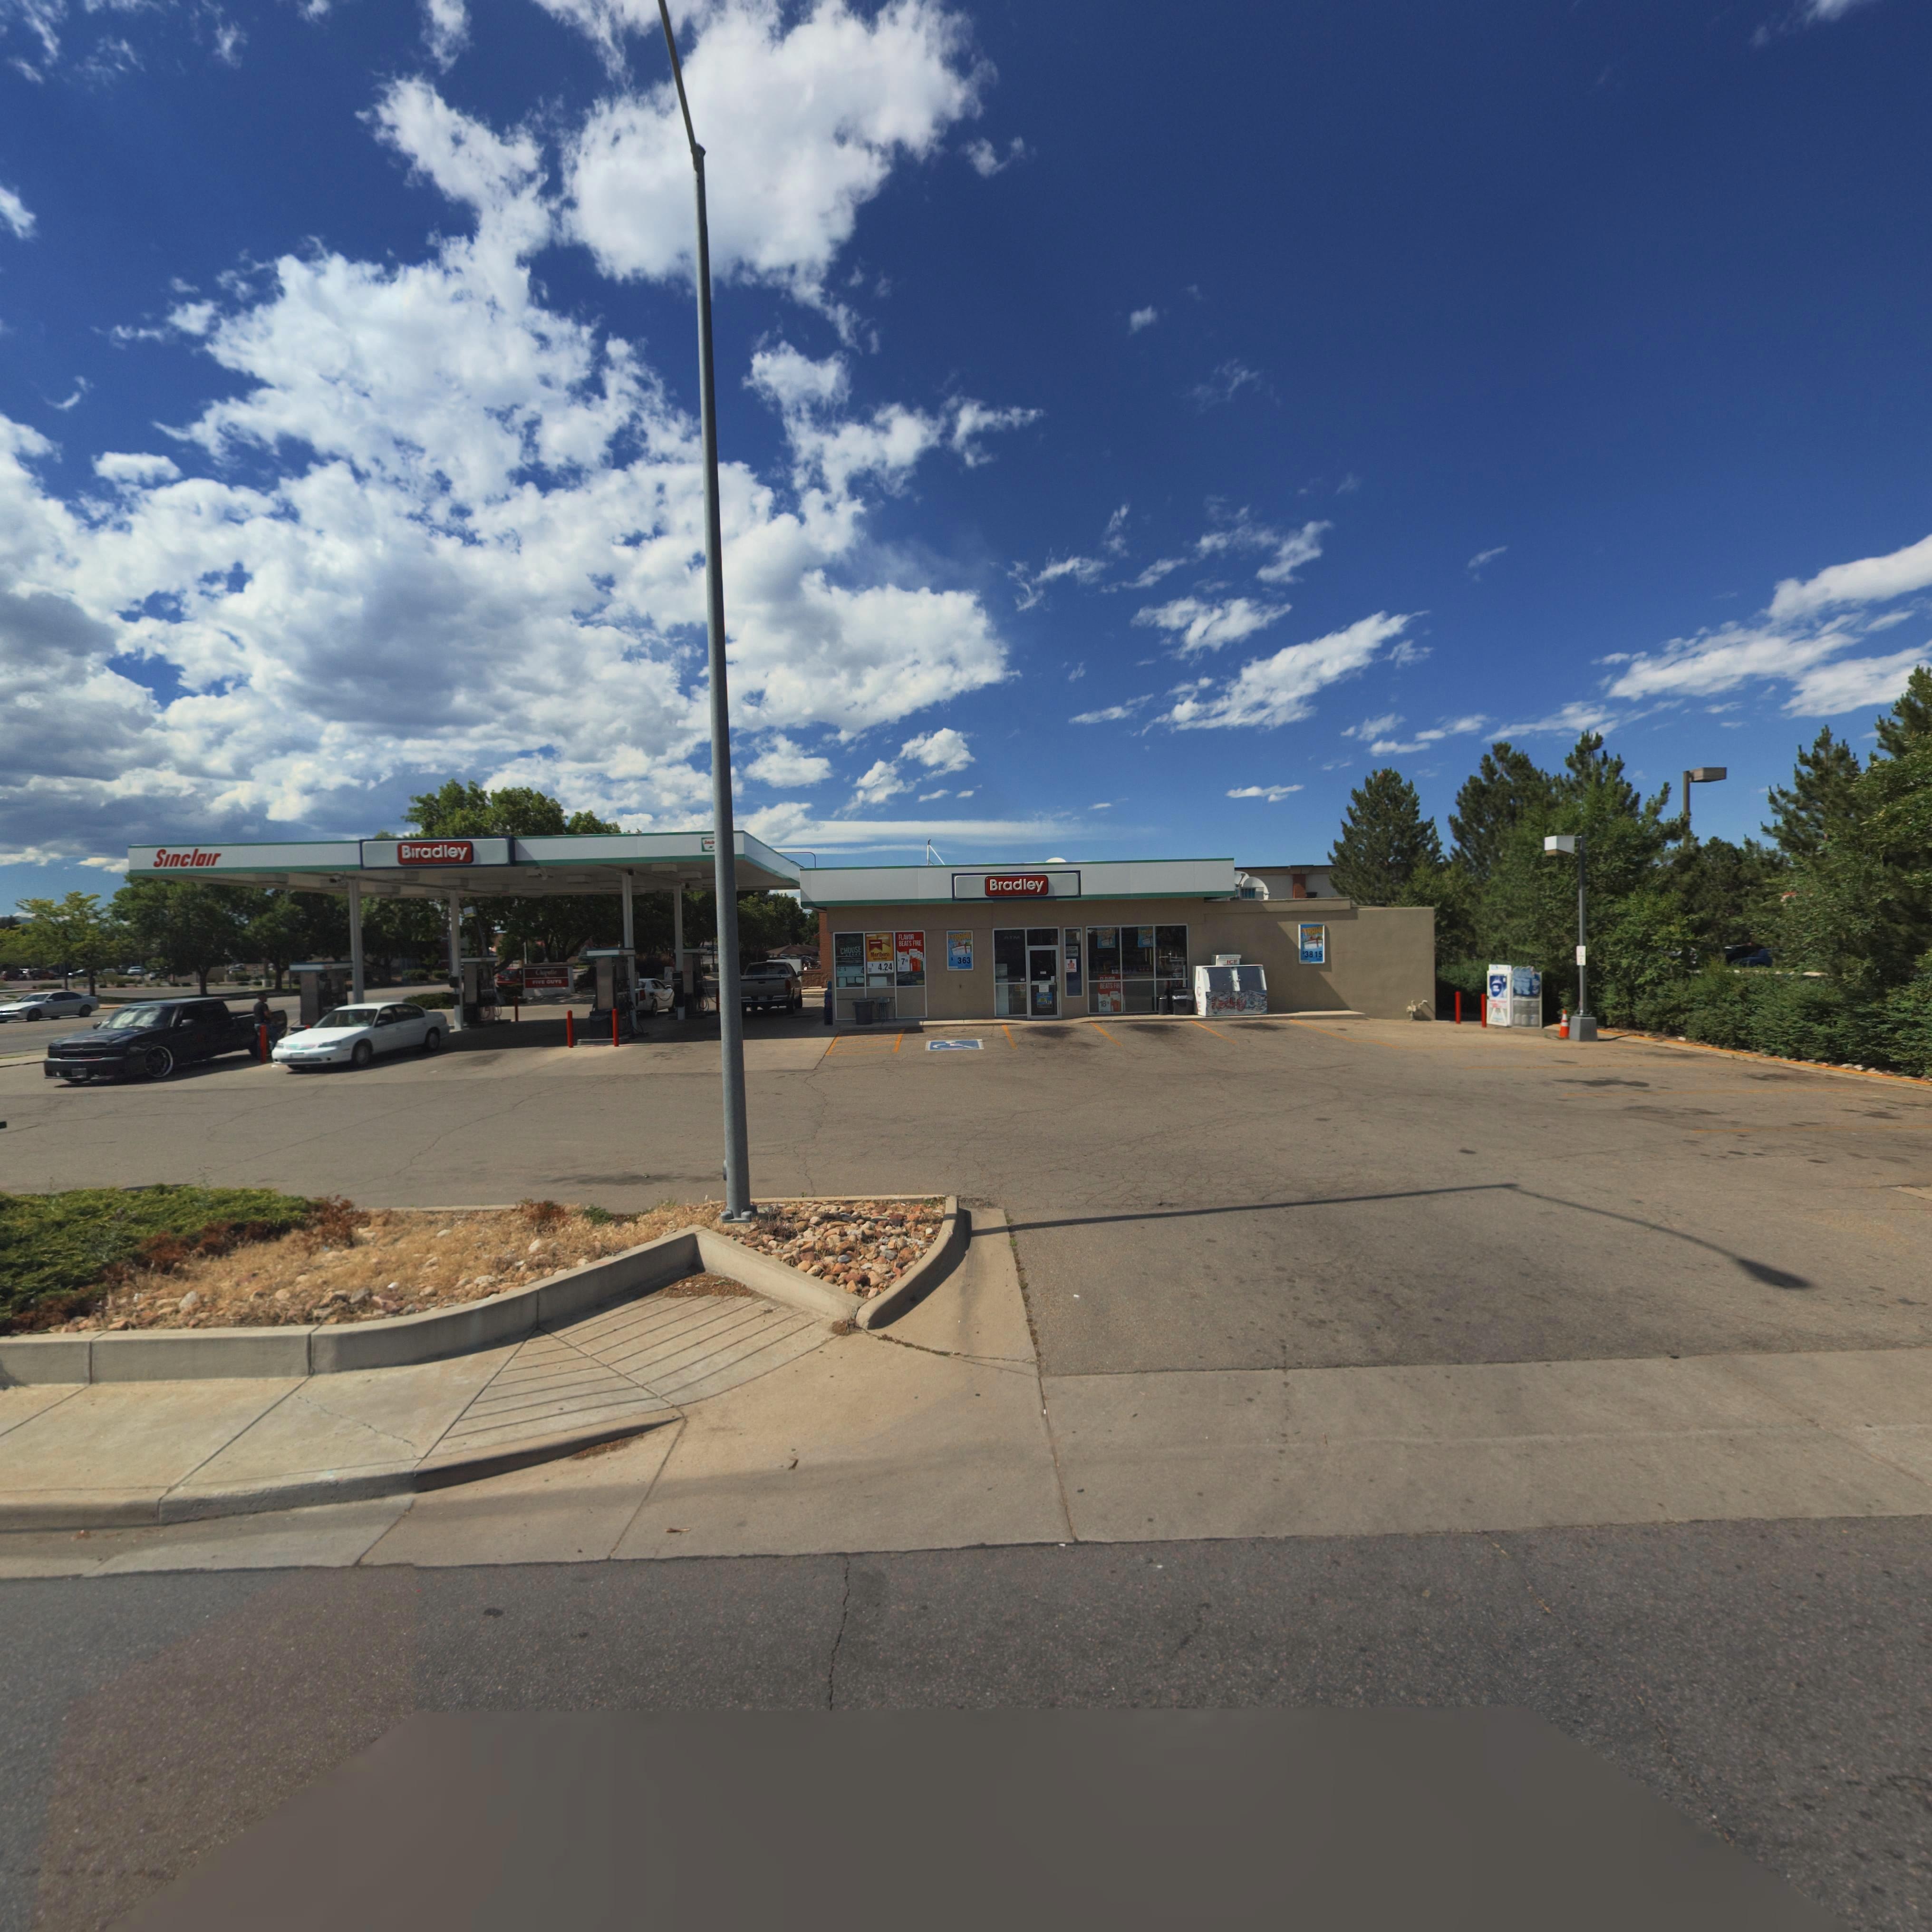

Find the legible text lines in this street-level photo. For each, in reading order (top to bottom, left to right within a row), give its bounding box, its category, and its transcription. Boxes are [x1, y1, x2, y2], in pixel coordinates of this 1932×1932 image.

[704, 839, 714, 844] BusinessName: S*******
[152, 847, 222, 868] BusinessName: Sinclair
[400, 842, 469, 861] BusinessName: B*radley
[989, 878, 1044, 893] BusinessName: Bradley
[534, 968, 557, 977] BusinessName: Ch*po**e
[531, 979, 562, 985] BusinessName: FIVE GUYS